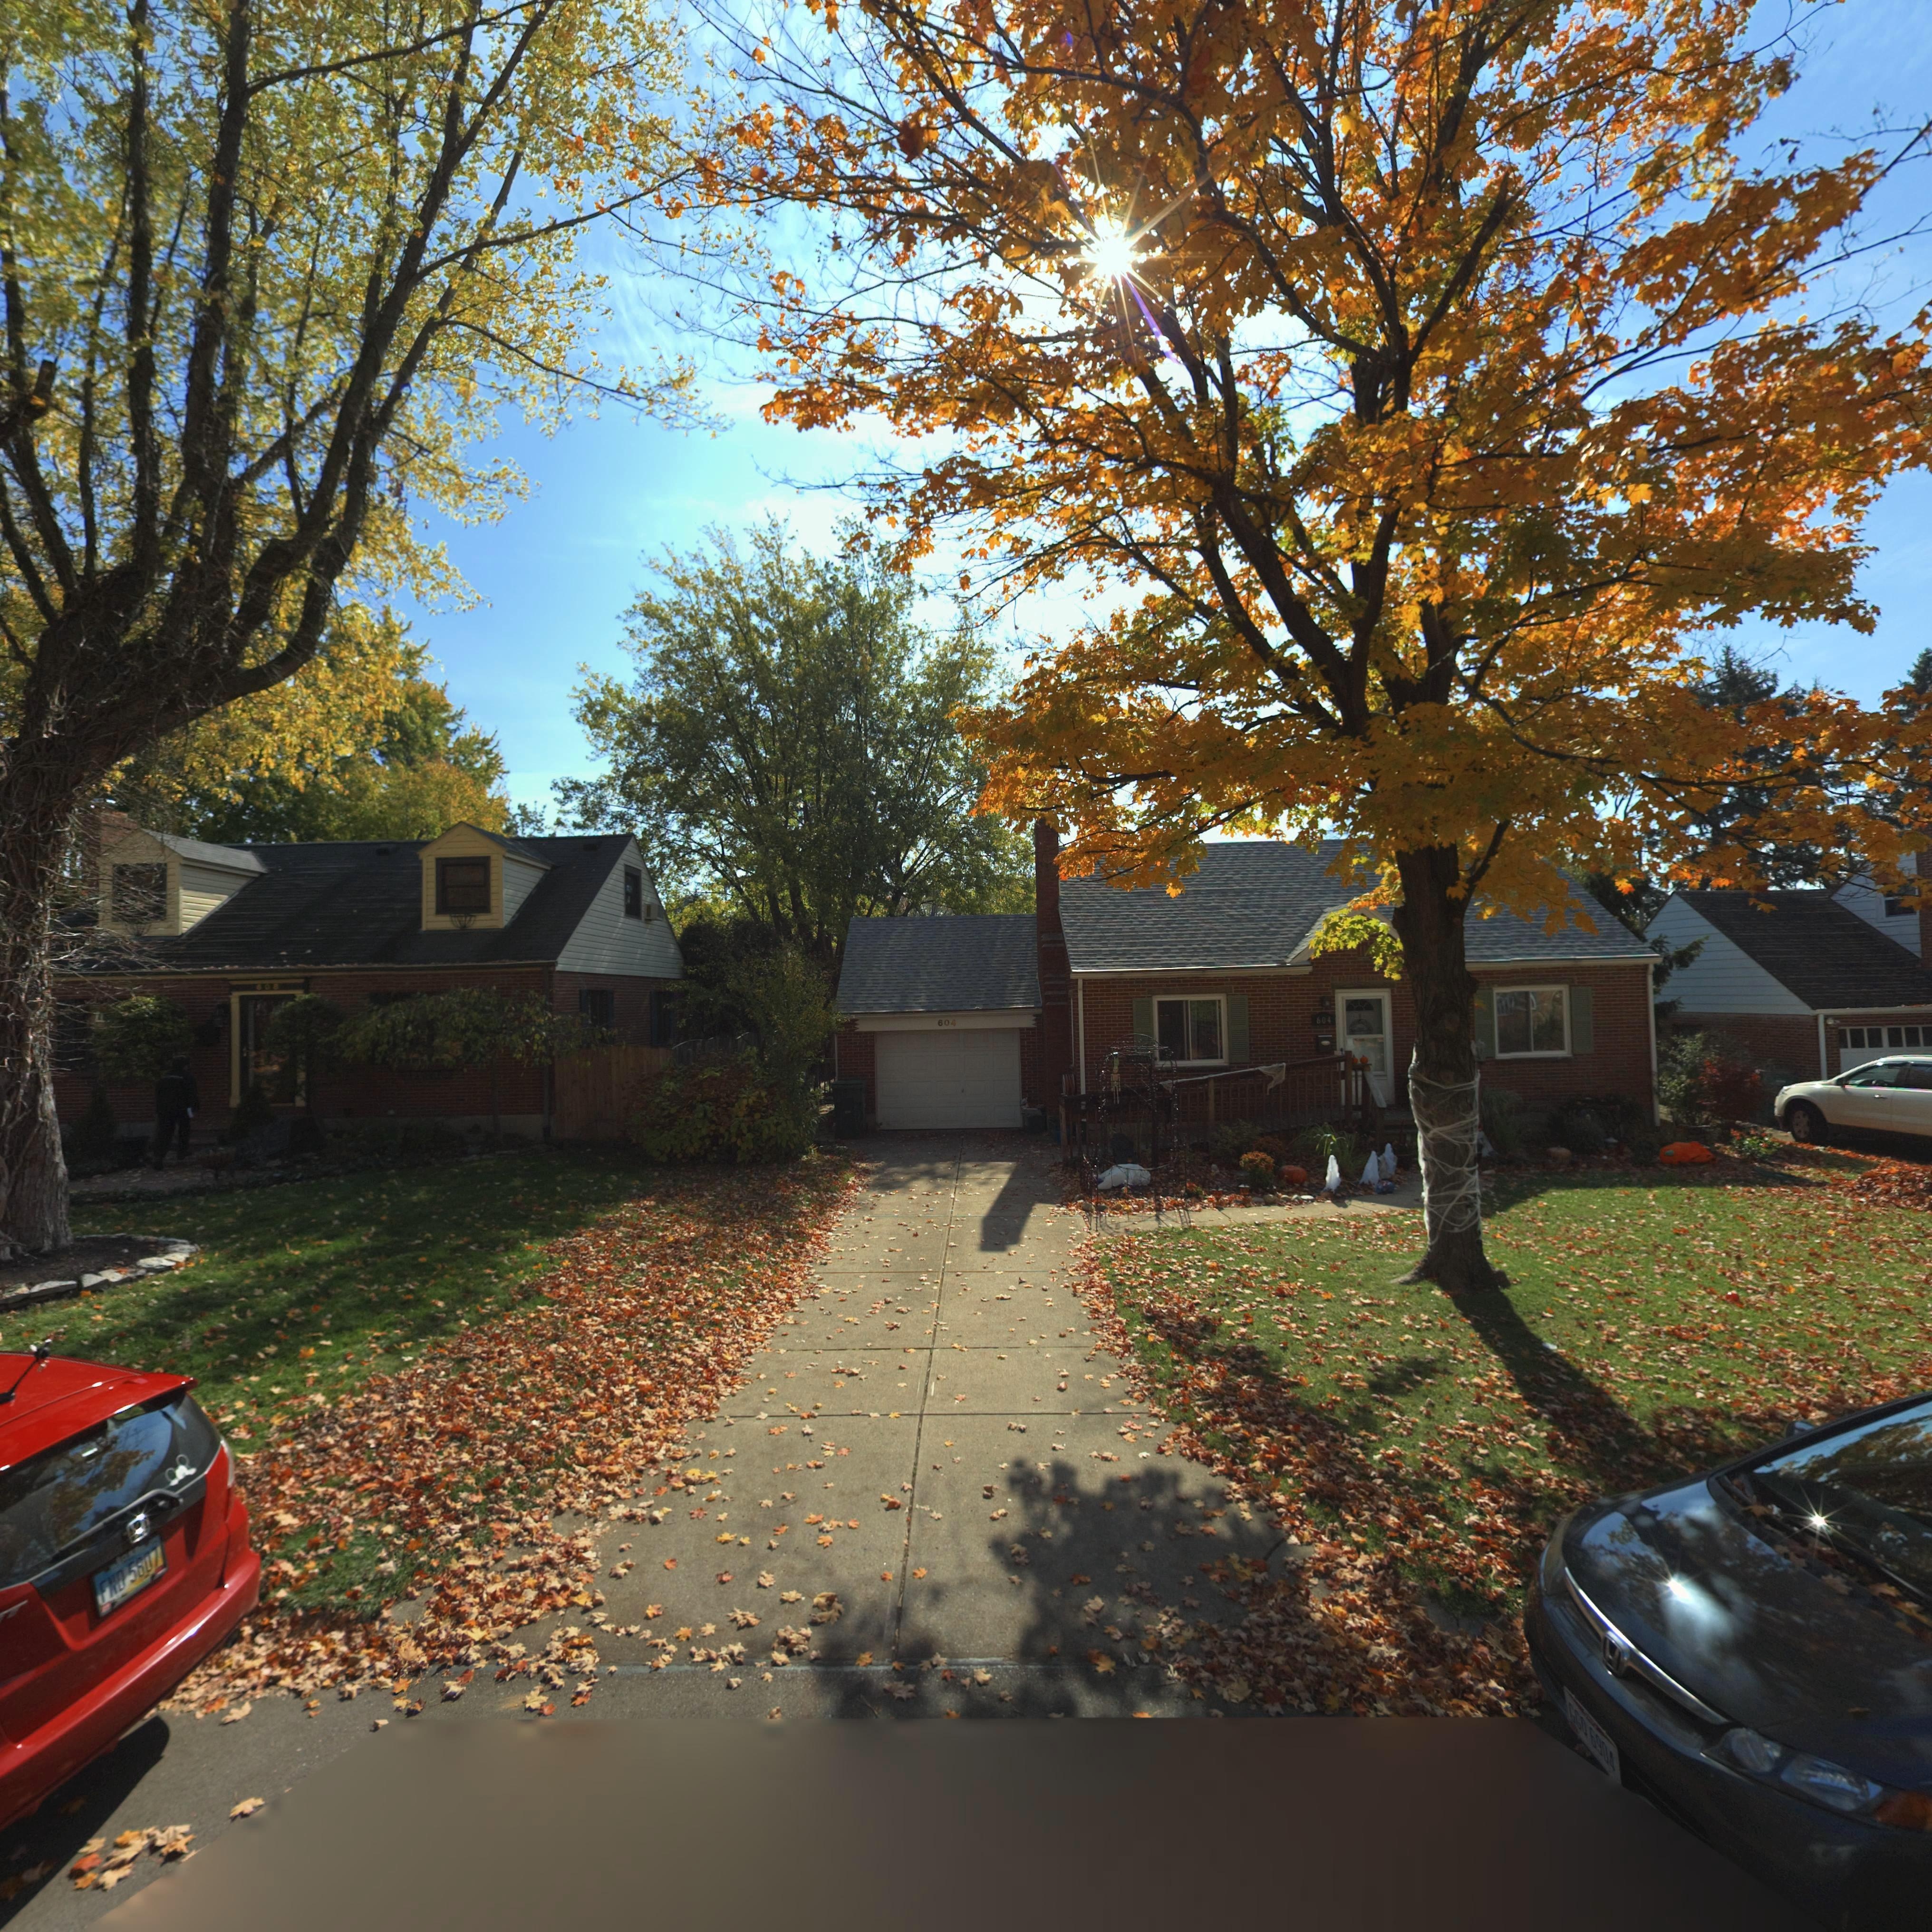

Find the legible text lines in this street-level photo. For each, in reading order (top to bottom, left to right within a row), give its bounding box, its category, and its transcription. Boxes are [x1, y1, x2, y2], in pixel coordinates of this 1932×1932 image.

[256, 983, 279, 991] StreetNumber: 608
[937, 1019, 956, 1027] StreetNumber: 604
[1316, 1016, 1332, 1024] StreetNumber: 604
[97, 1545, 158, 1605] None: FND*5807
[1568, 1700, 1615, 1772] None: GG0*6904